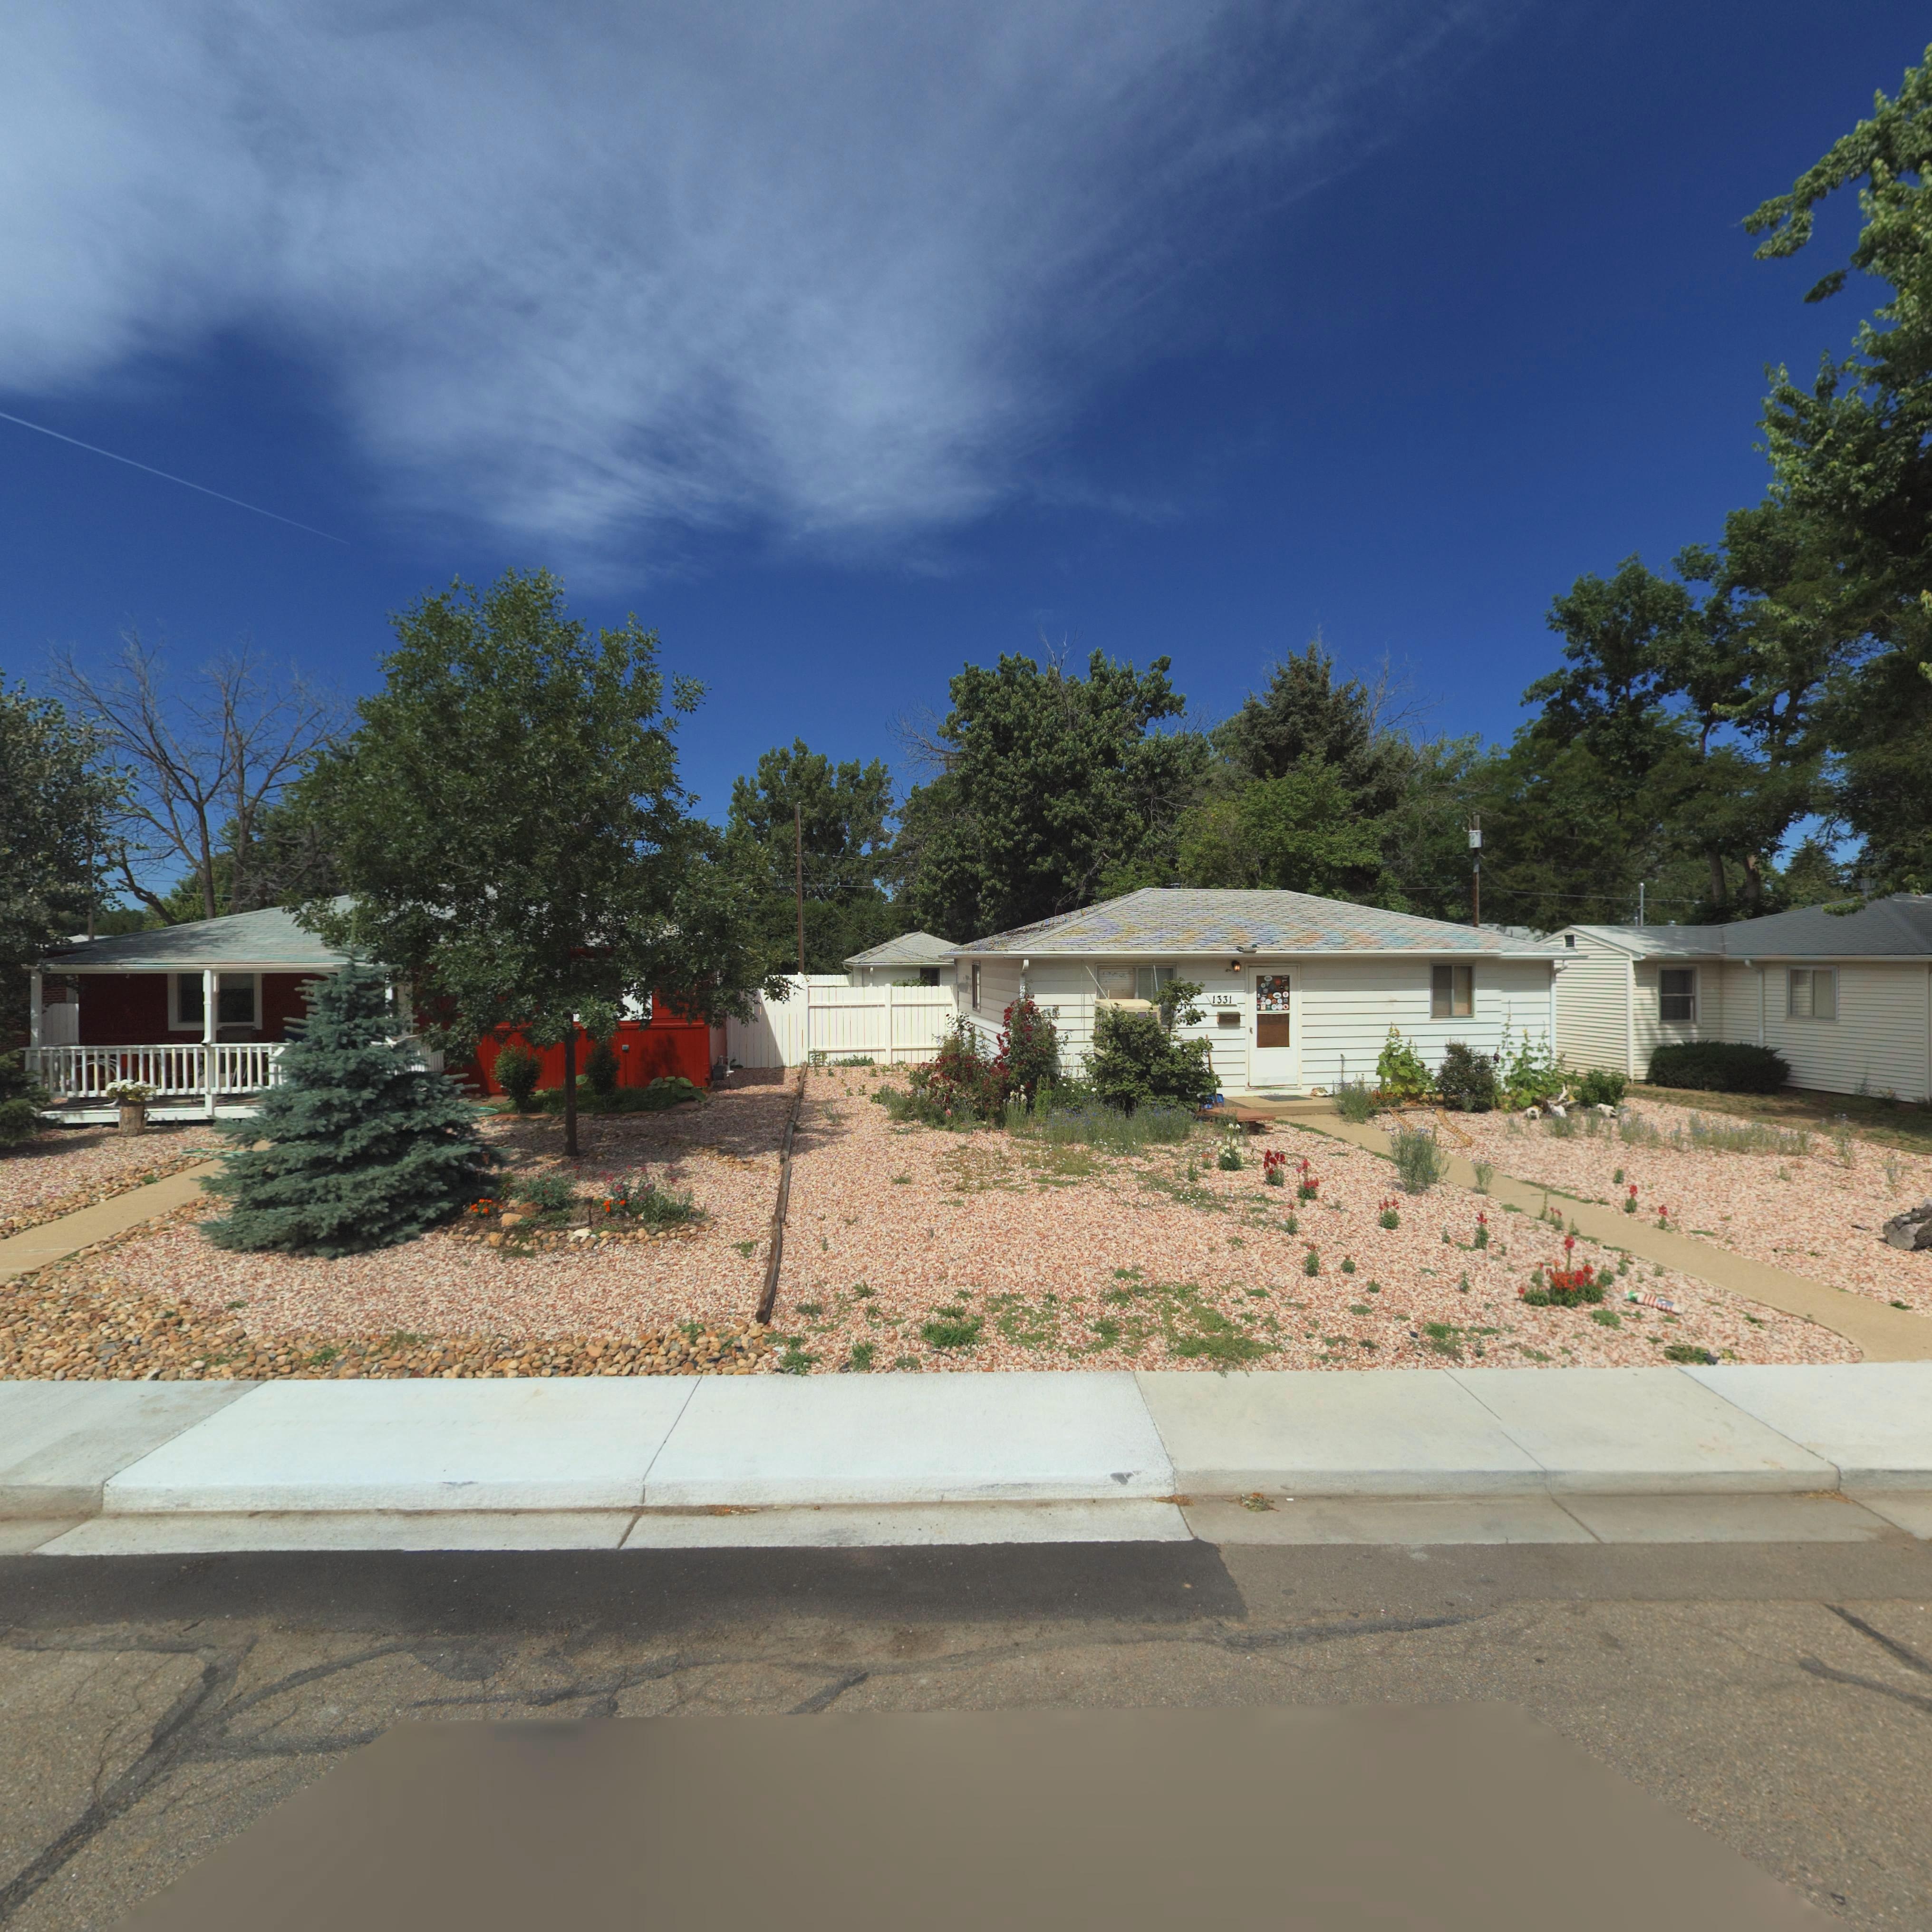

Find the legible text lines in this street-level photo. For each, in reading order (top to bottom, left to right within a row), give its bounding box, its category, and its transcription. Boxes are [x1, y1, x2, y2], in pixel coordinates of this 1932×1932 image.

[1212, 995, 1231, 1004] StreetNumber: 1331